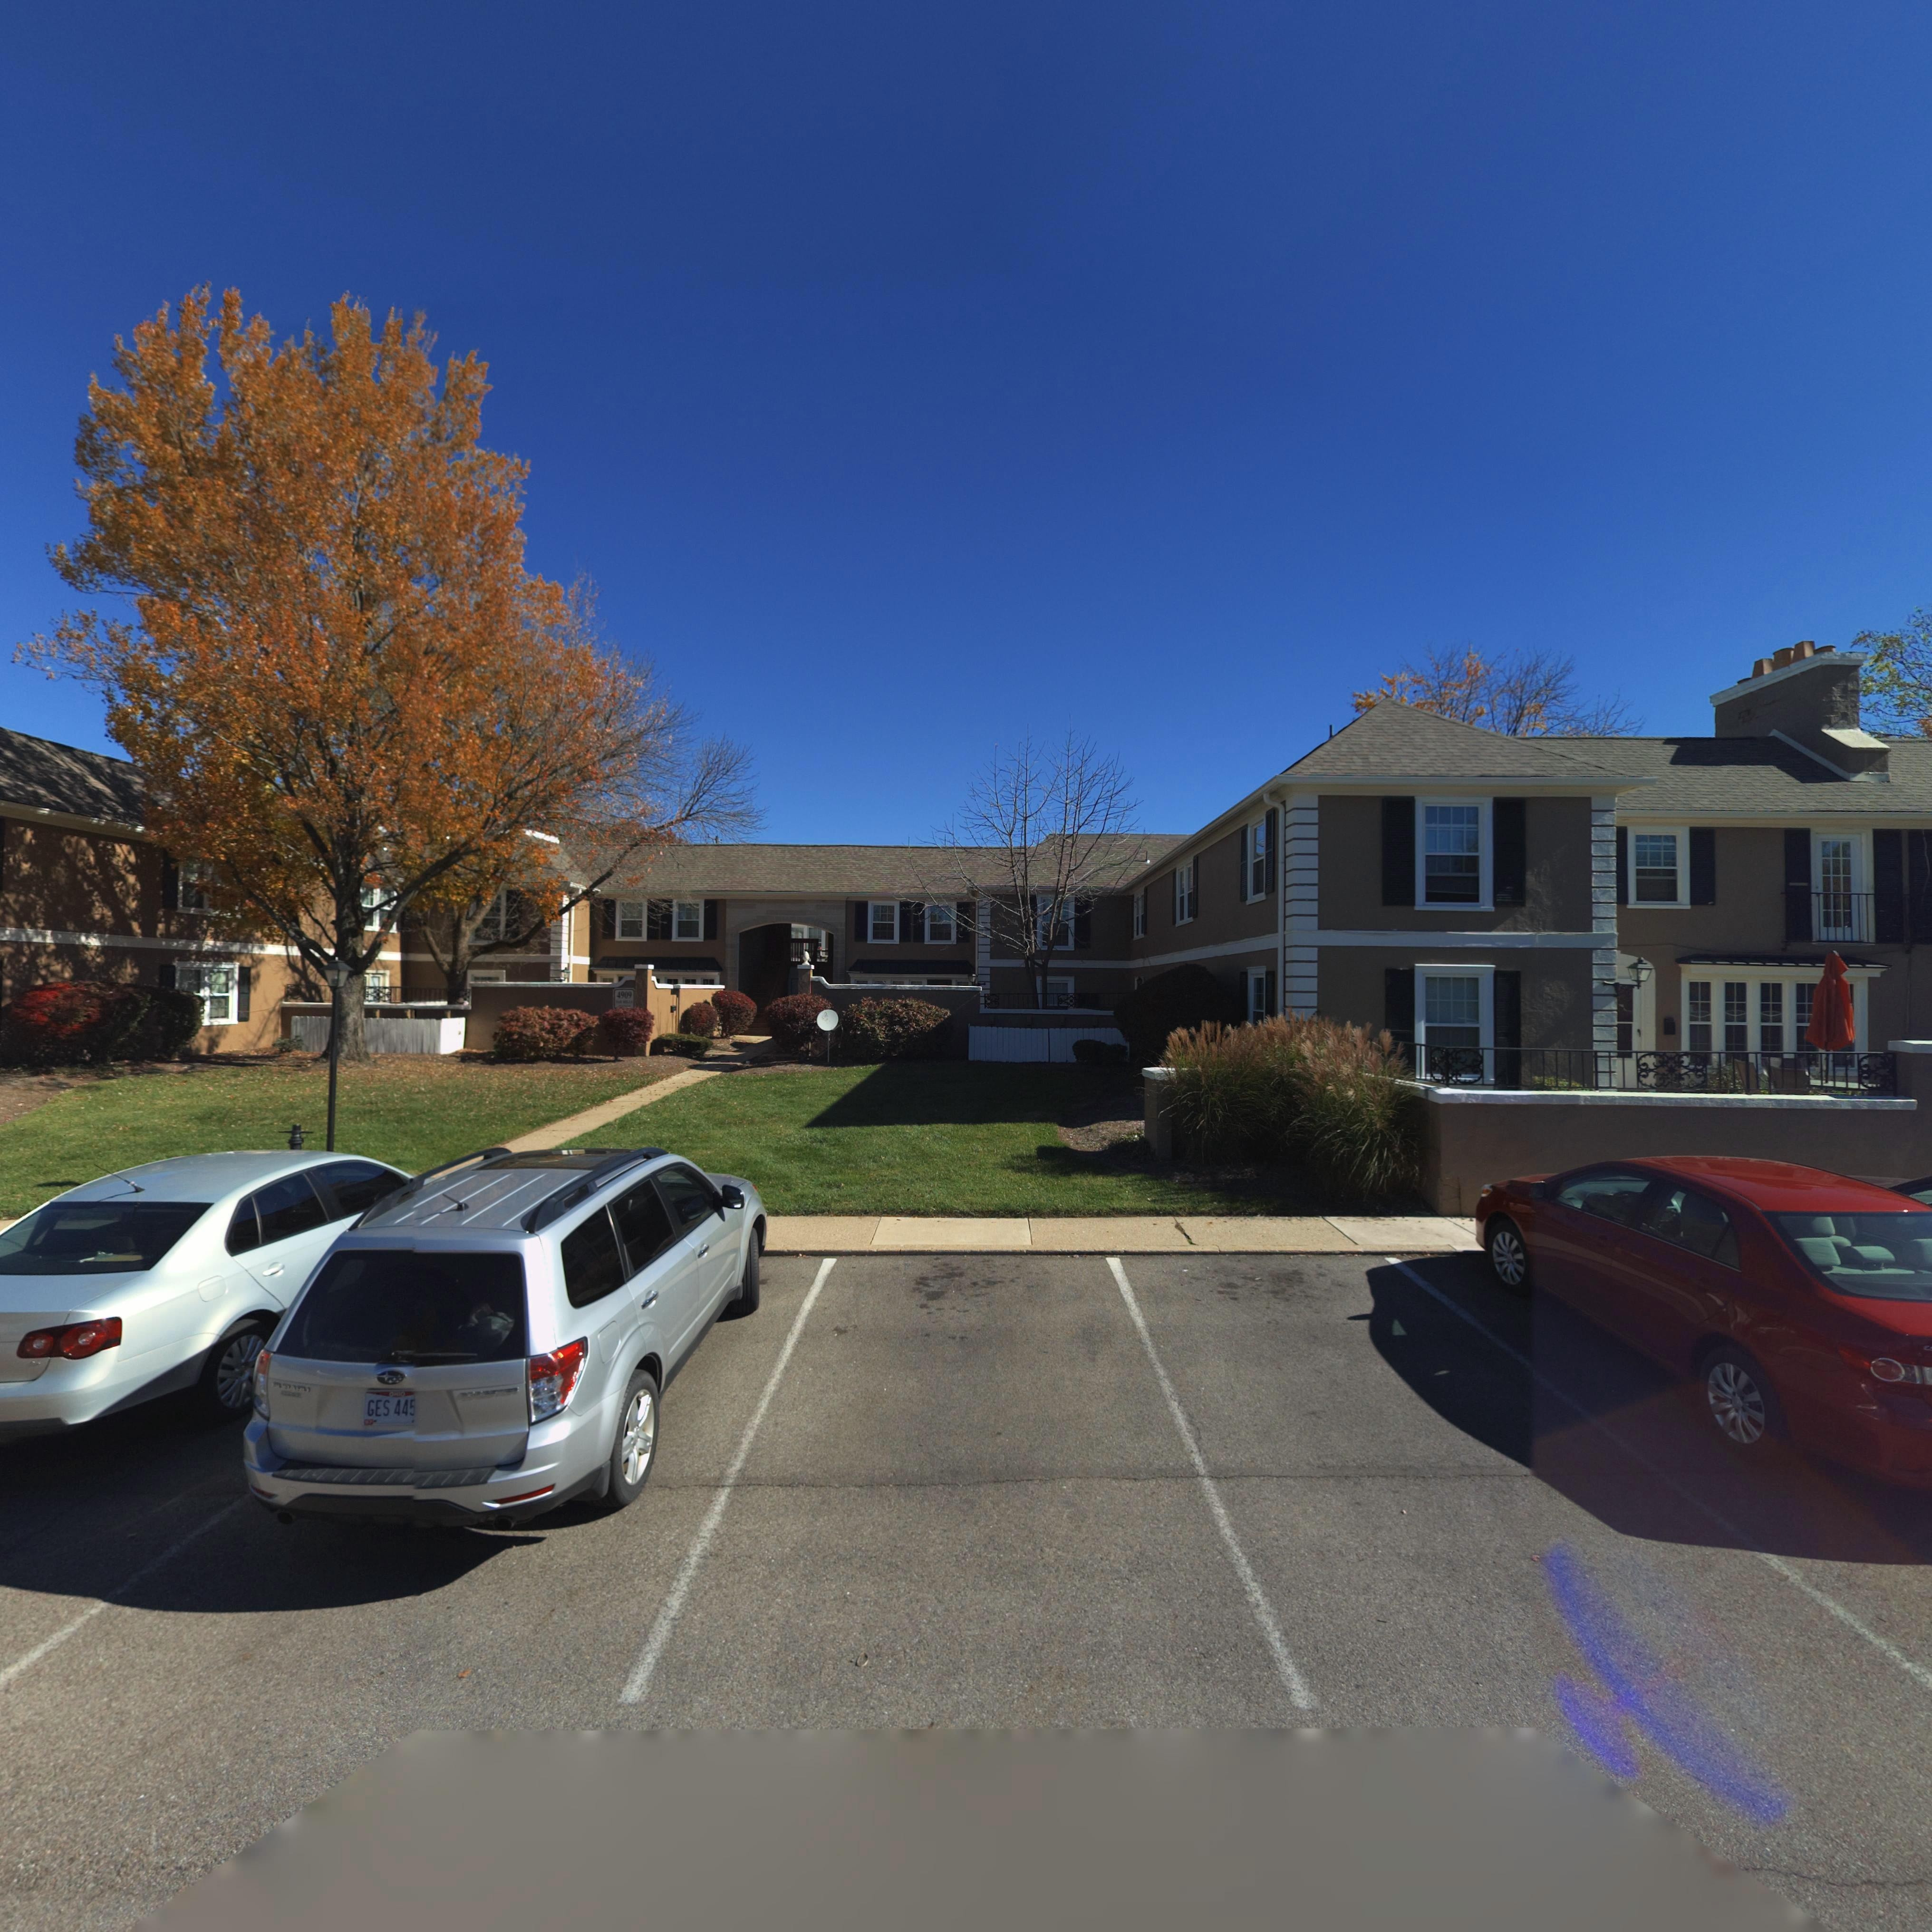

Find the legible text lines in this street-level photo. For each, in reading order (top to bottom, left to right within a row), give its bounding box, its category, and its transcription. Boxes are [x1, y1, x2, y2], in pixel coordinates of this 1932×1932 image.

[615, 991, 632, 999] StreetNumber: 4909